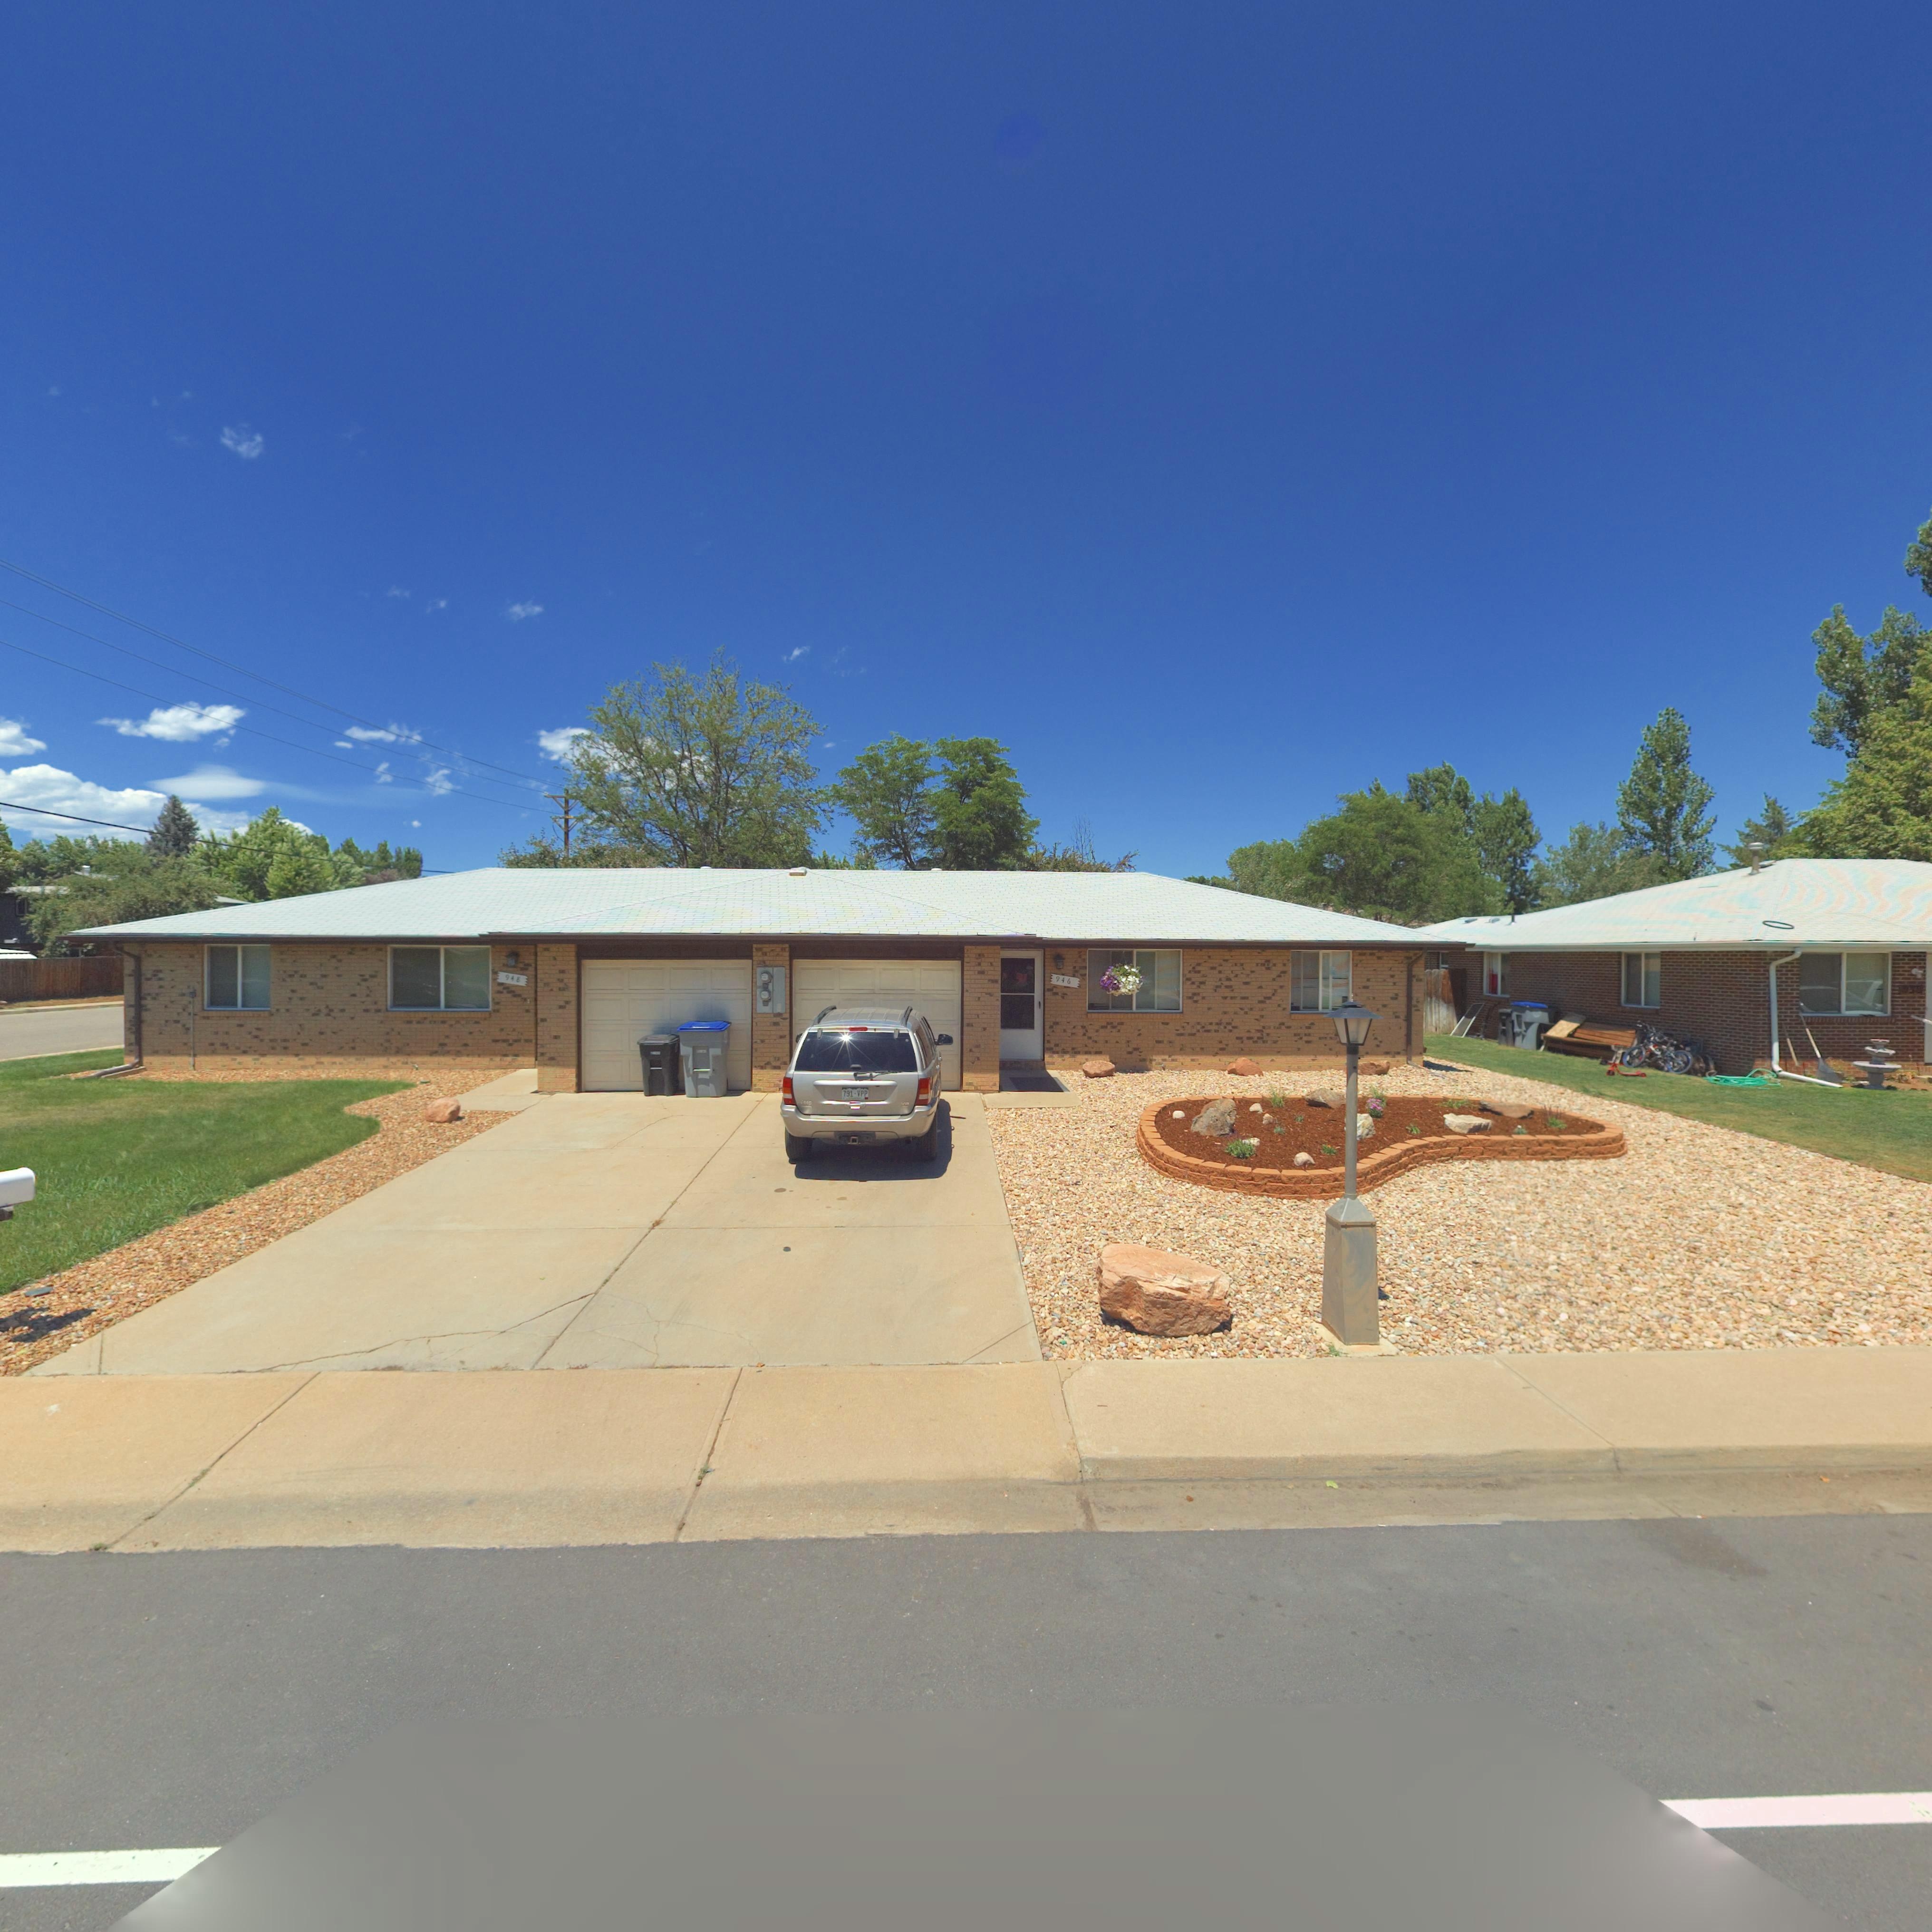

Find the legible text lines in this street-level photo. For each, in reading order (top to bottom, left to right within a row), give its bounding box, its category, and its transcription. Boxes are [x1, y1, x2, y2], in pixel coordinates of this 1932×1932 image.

[505, 974, 520, 983] StreetNumber: 948
[1055, 976, 1071, 985] StreetNumber: 946
[1900, 985, 1922, 994] StreetNumber: *38